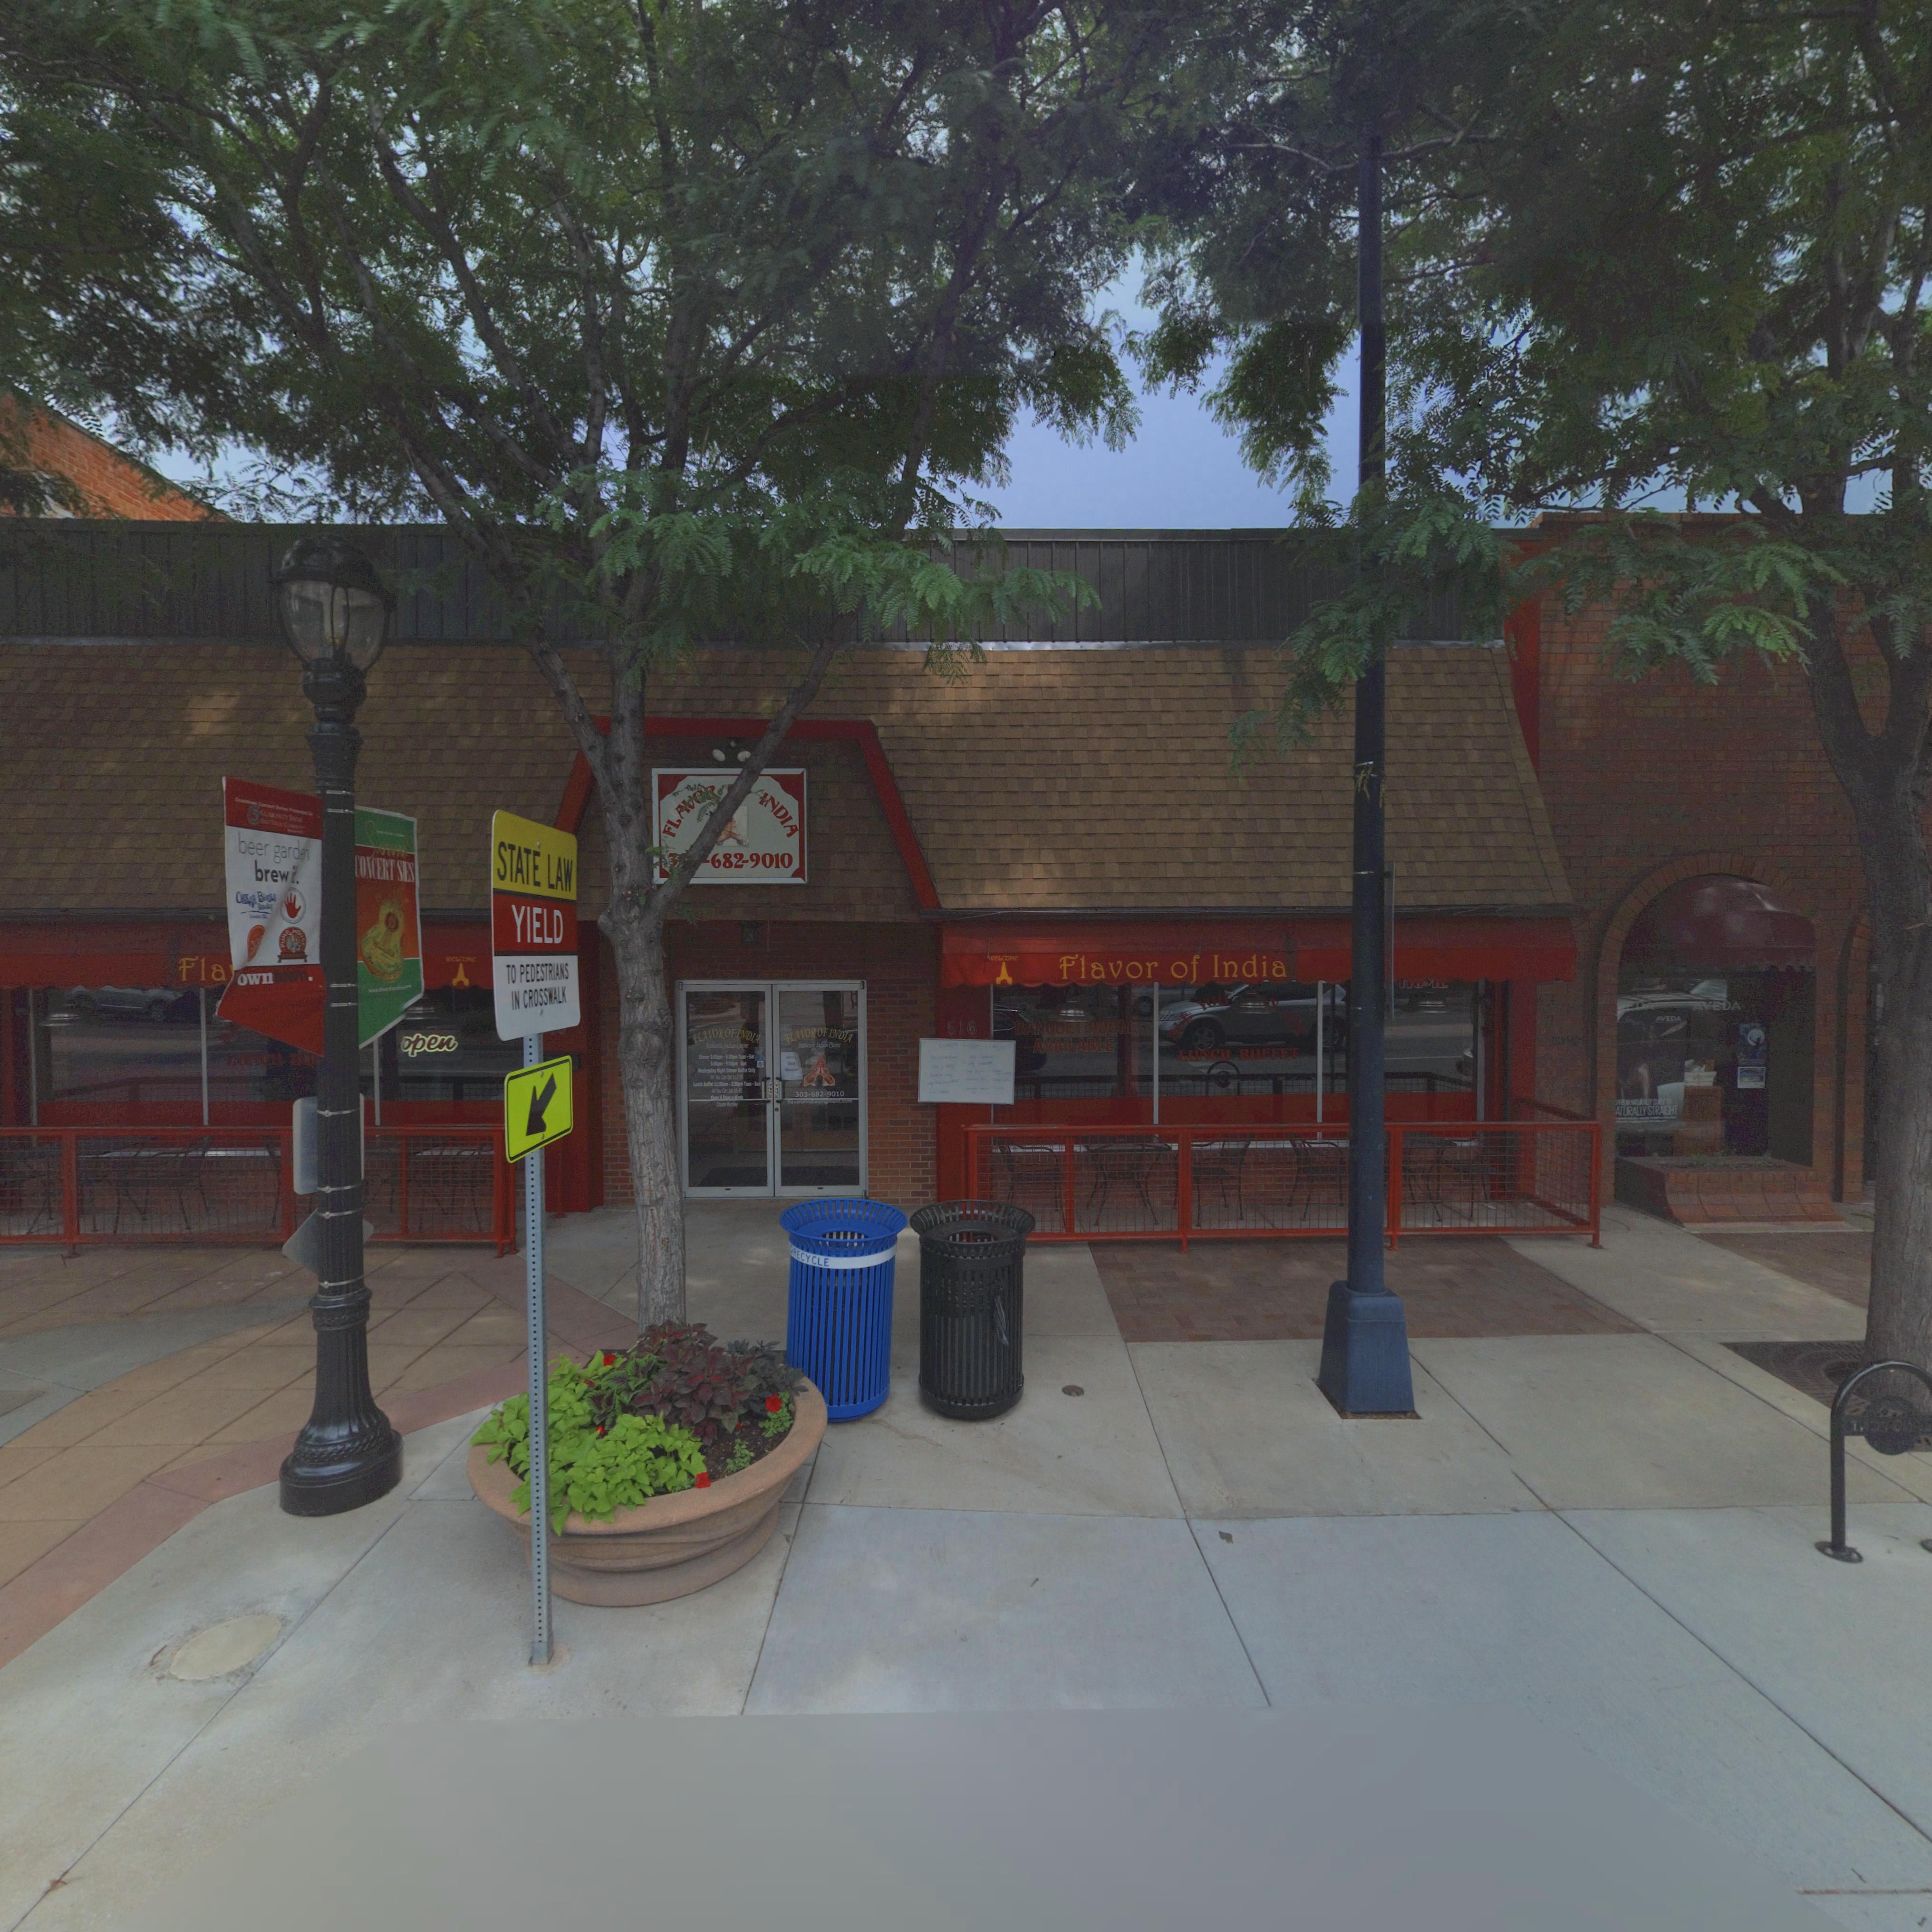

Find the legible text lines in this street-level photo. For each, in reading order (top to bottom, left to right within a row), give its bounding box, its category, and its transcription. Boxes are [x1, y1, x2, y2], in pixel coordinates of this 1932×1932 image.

[660, 782, 800, 840] BusinessName: FLAV** ** INDIA
[176, 955, 228, 982] BusinessName: Fla
[1690, 999, 1742, 1013] BusinessName: AVEDA
[1653, 1014, 1683, 1023] BusinessName: AVEDA
[691, 1027, 763, 1044] BusinessName: FLAVOR OF INDIA
[783, 1025, 855, 1043] BusinessName: FLAVOR OF INDIA
[947, 1019, 977, 1038] StreetNumber: 516